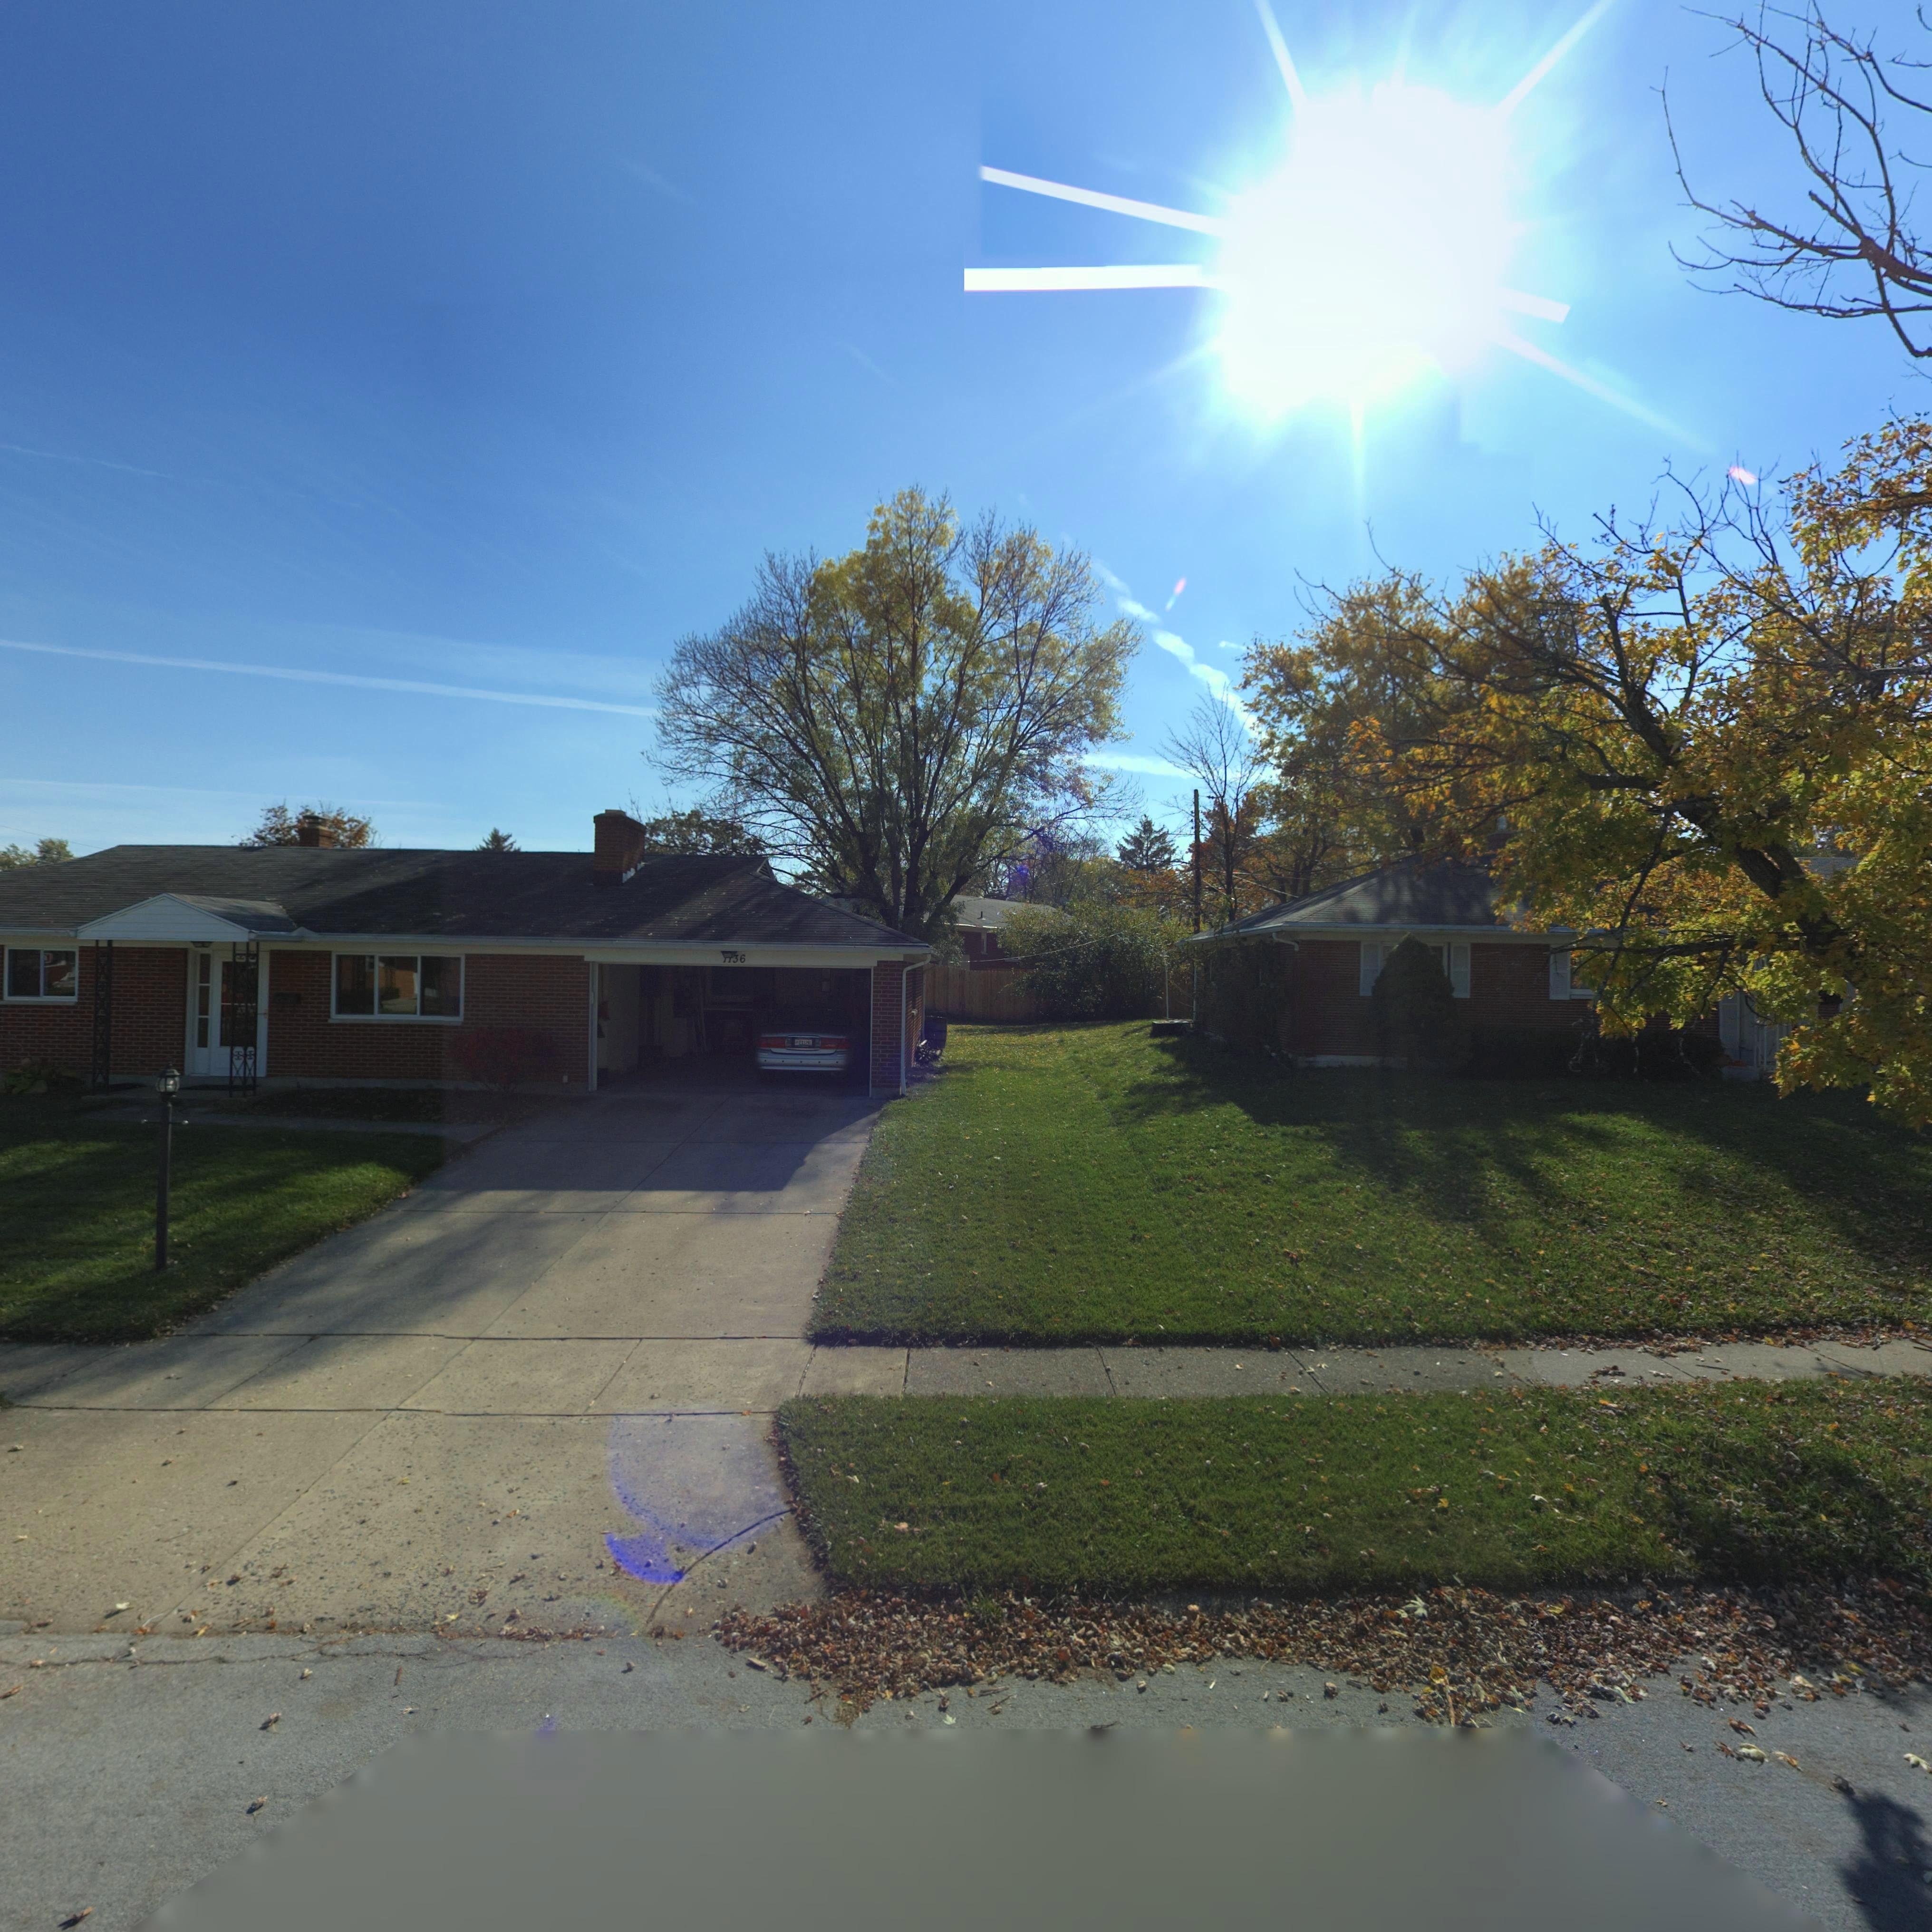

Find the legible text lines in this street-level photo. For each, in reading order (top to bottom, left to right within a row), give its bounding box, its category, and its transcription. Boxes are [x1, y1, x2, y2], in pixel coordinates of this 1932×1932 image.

[732, 953, 746, 964] StreetNumber: 36